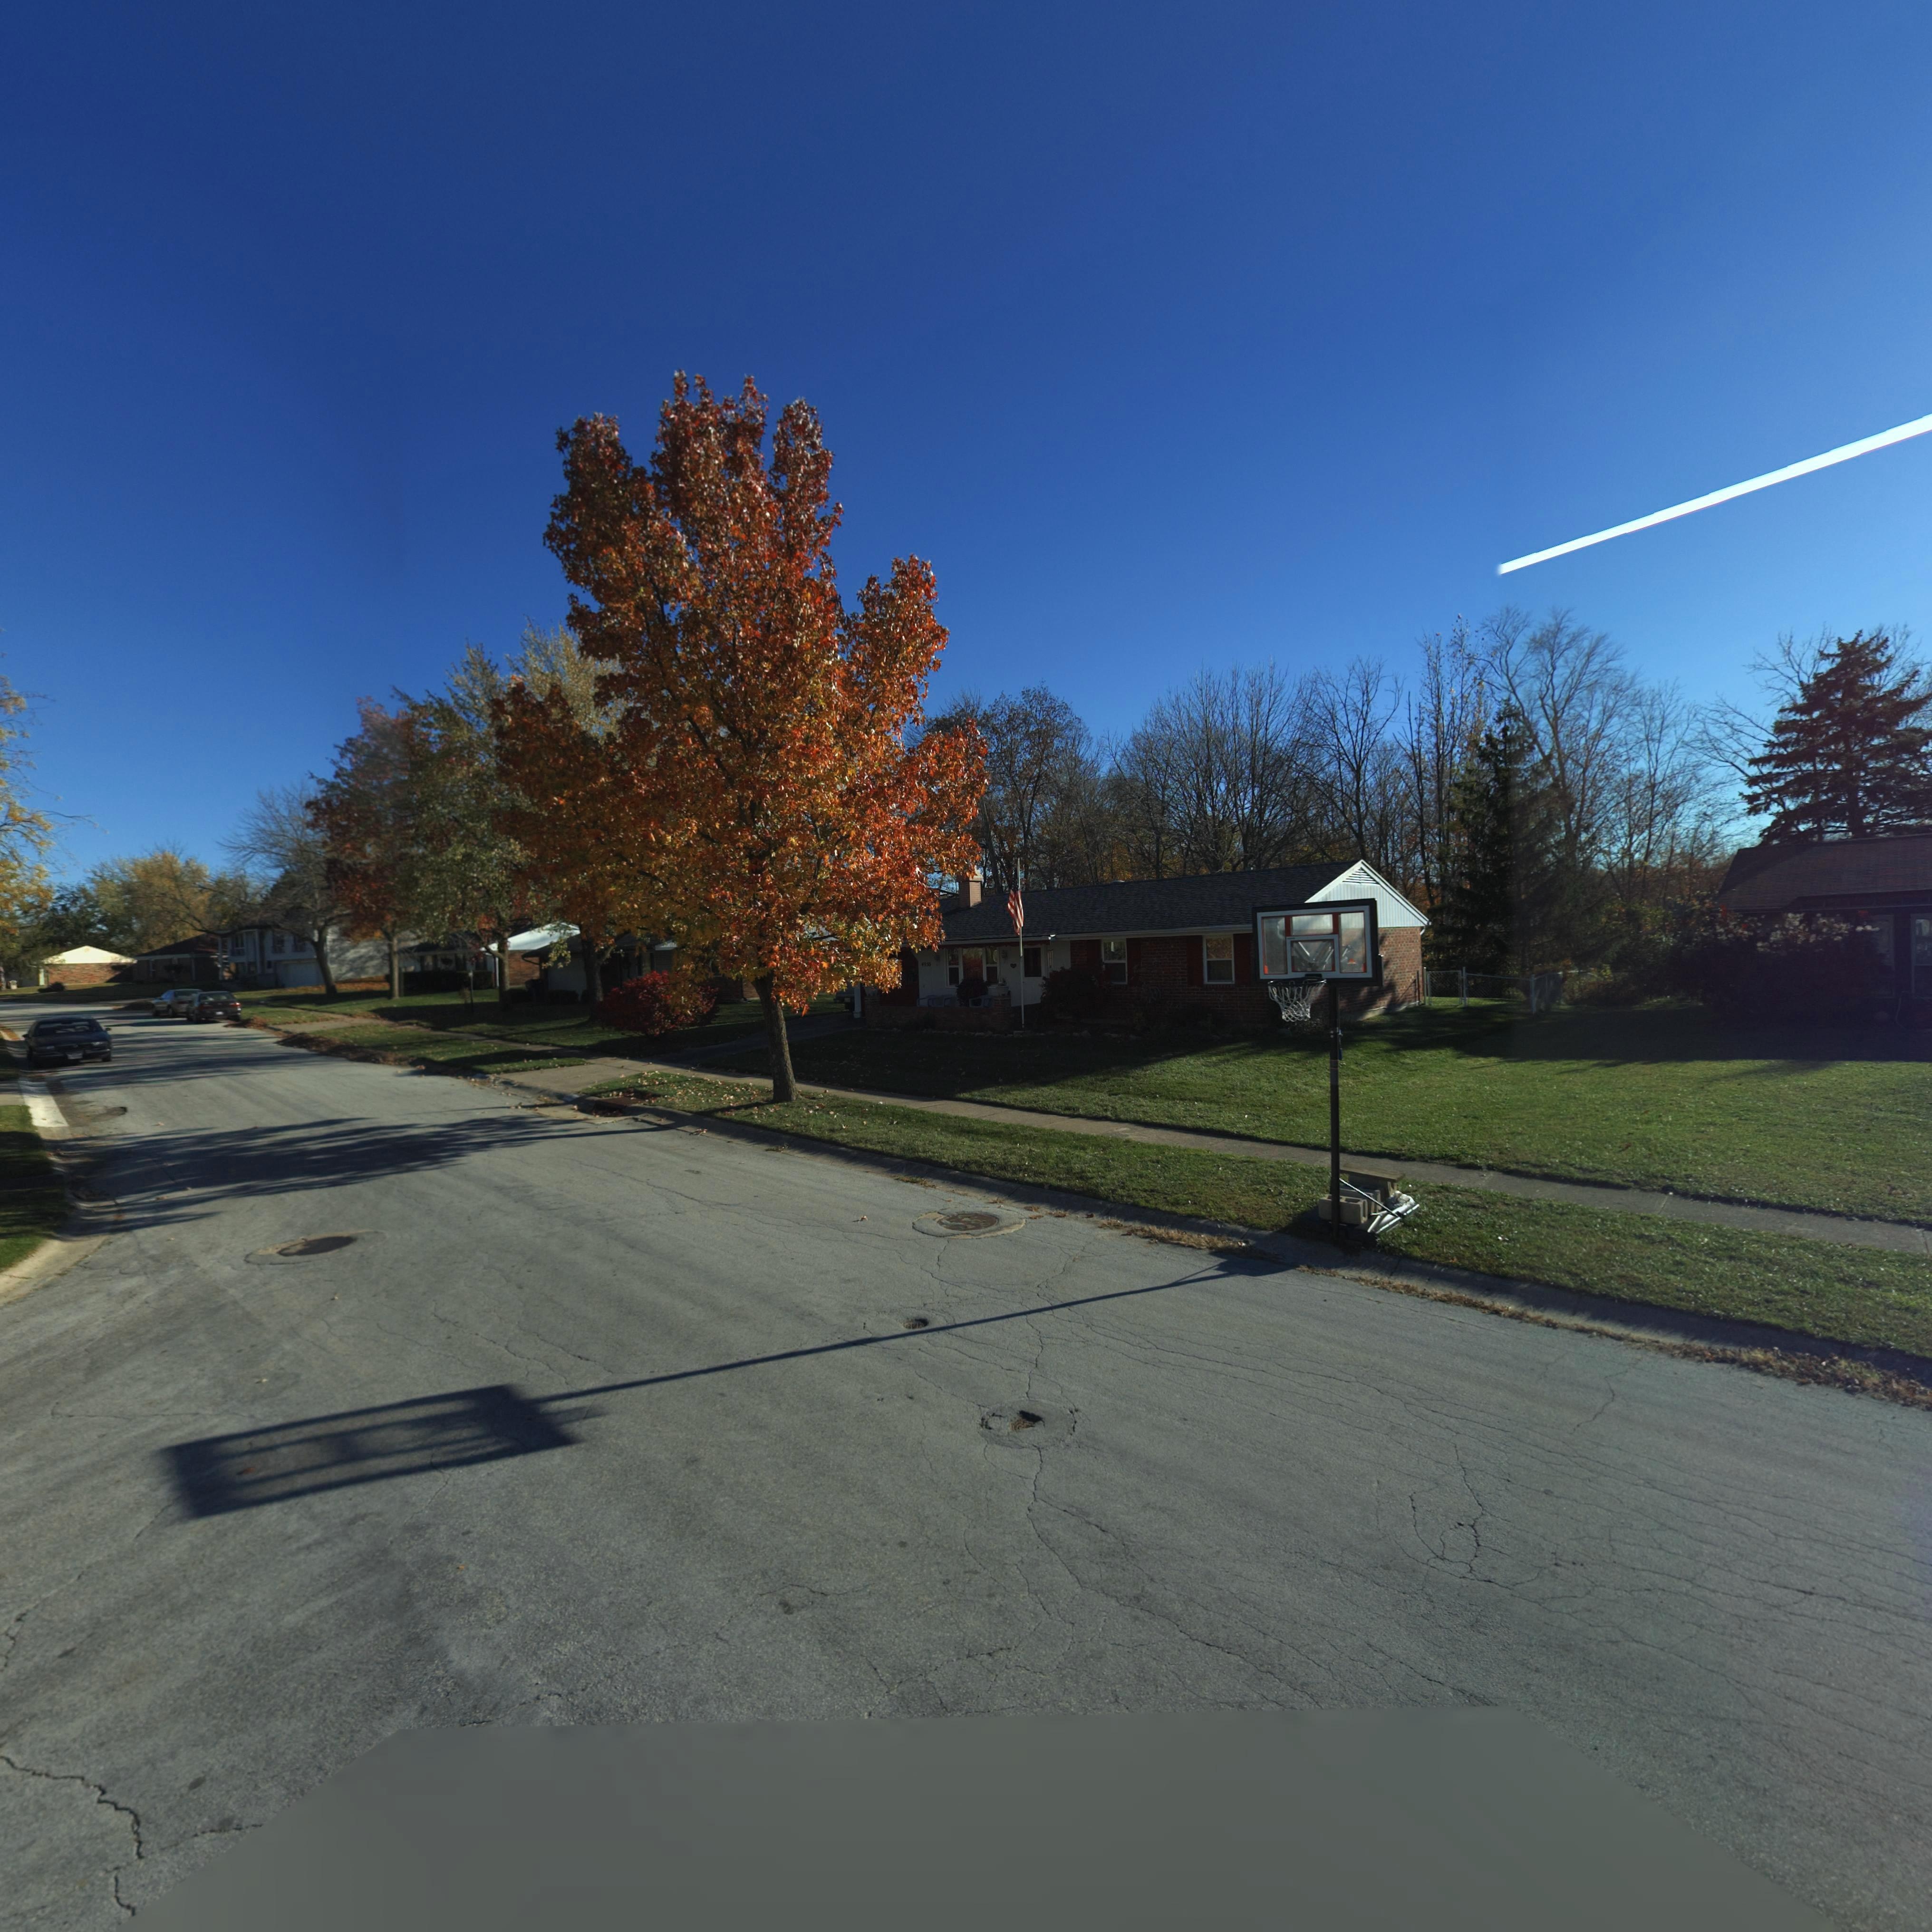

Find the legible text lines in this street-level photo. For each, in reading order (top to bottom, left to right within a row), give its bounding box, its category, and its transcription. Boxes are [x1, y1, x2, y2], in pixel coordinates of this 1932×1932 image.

[921, 962, 931, 967] StreetNumber: 4950